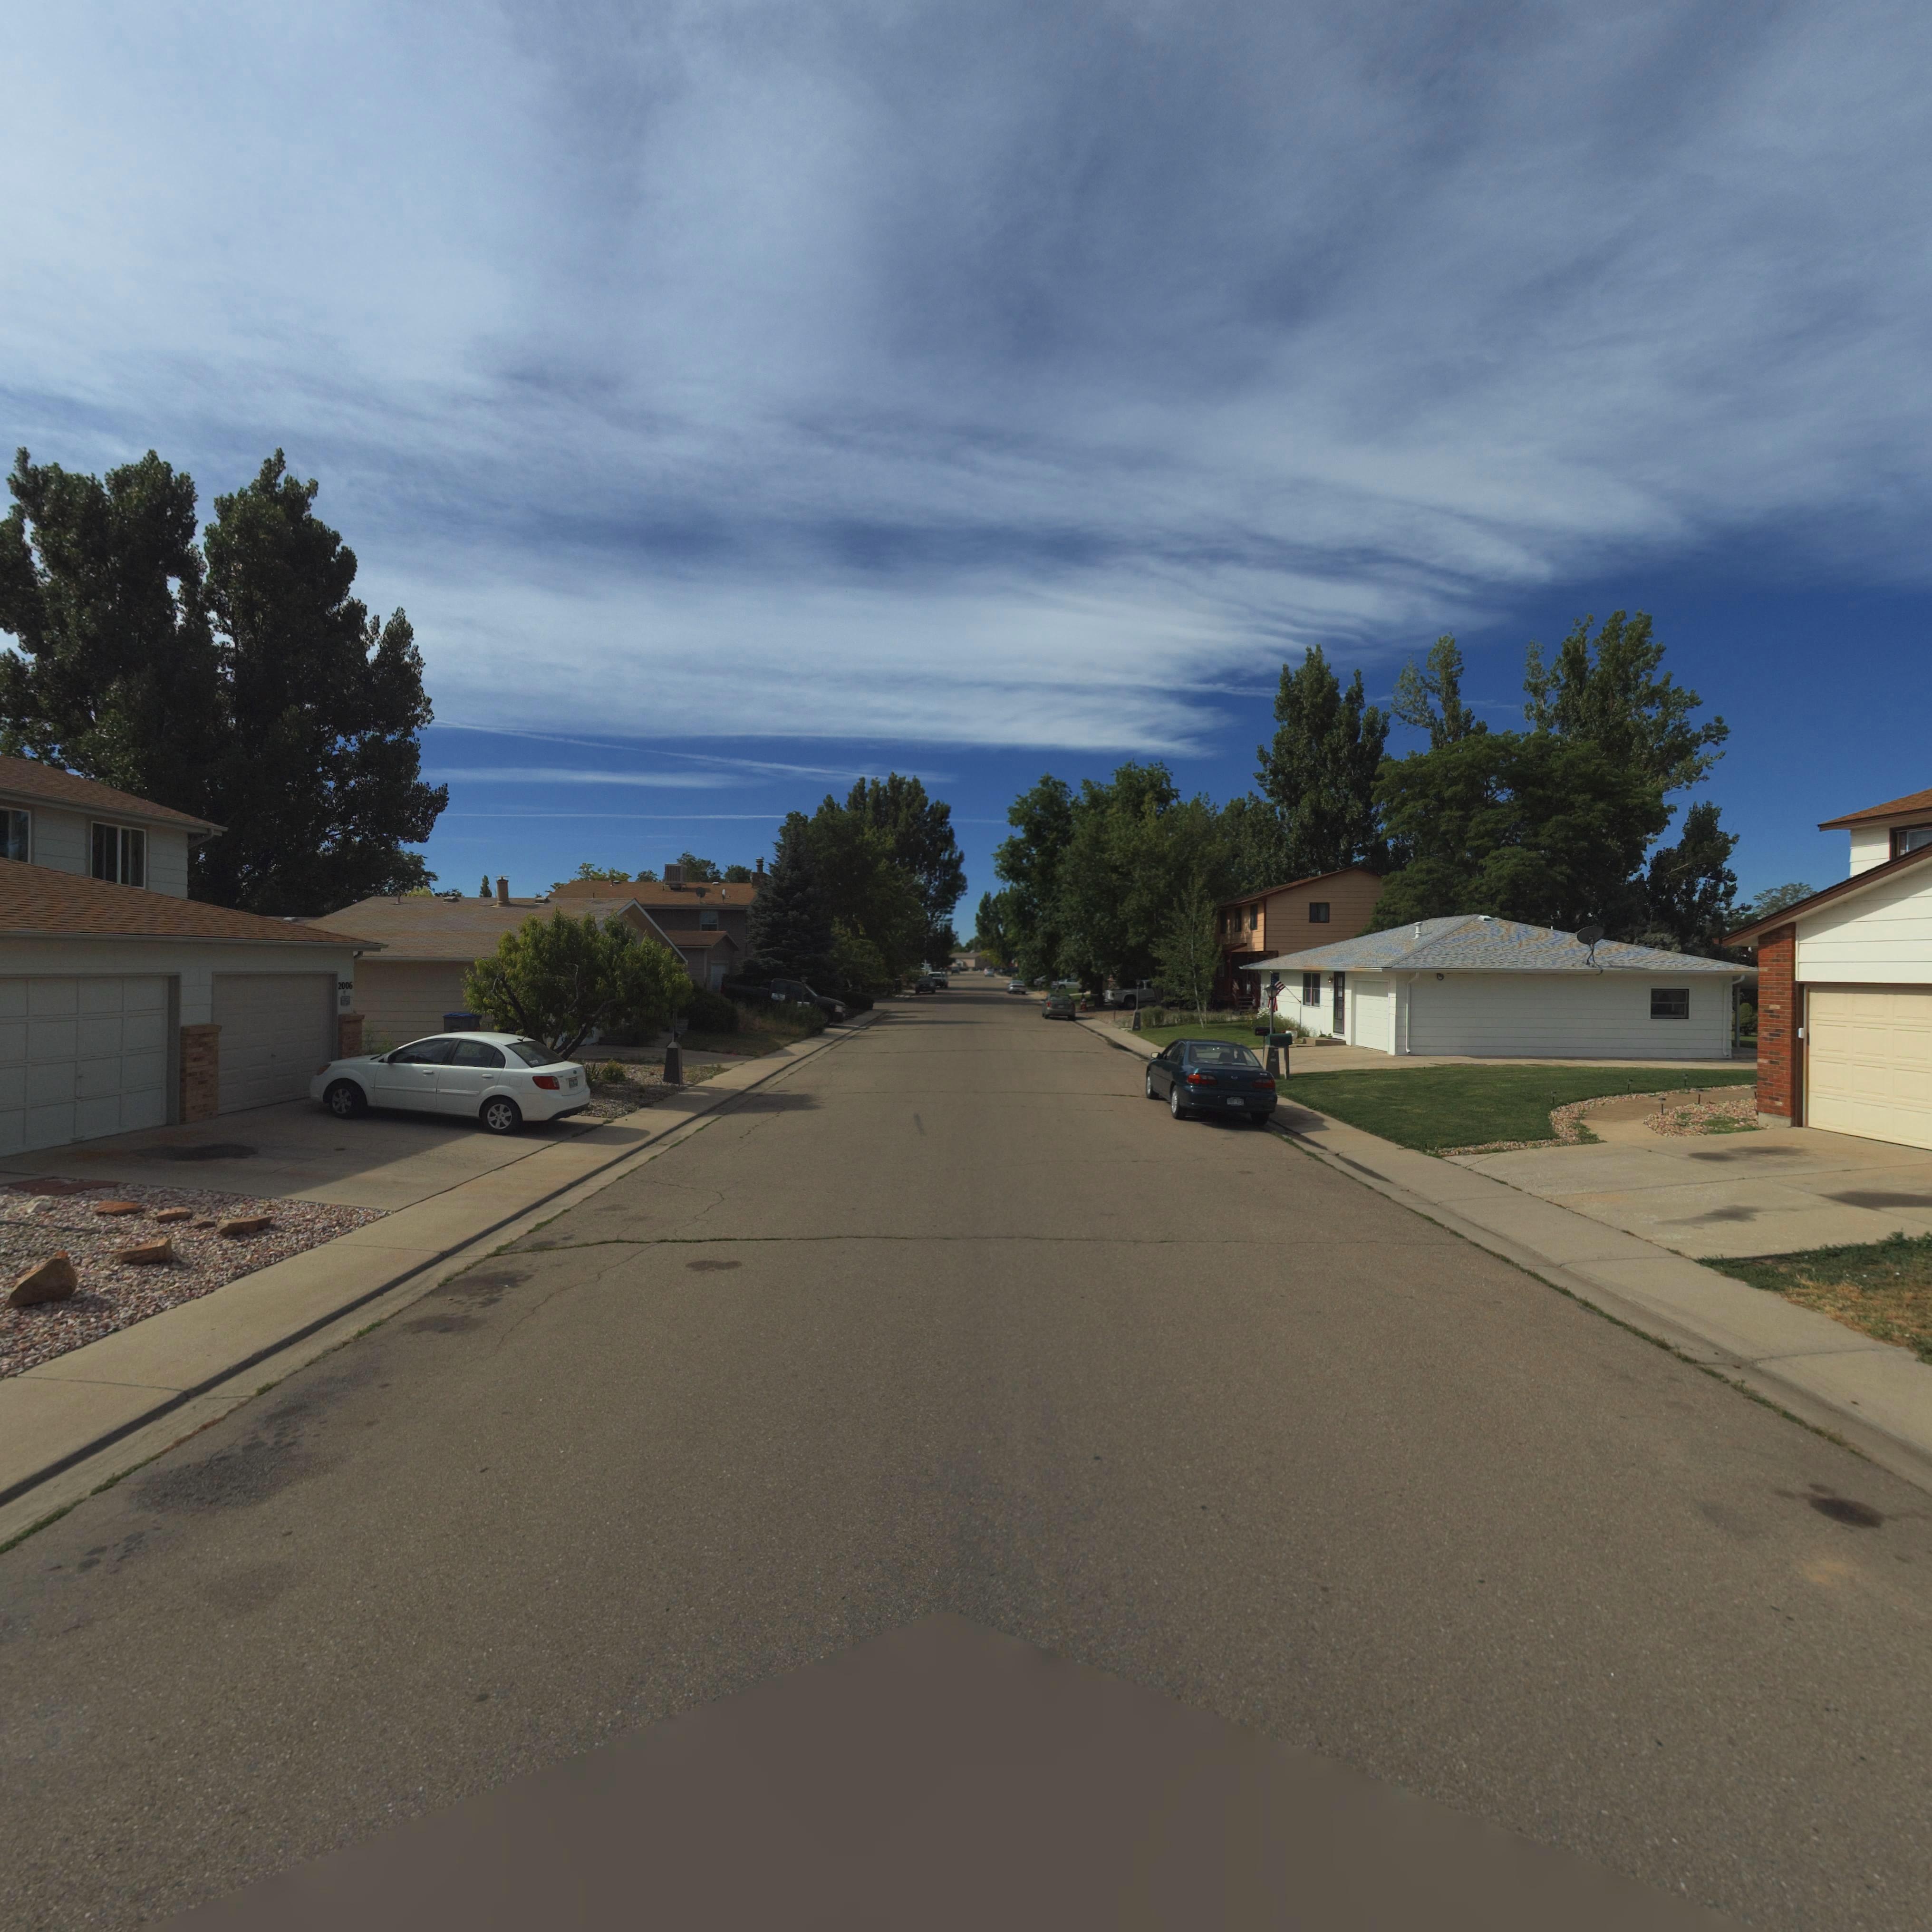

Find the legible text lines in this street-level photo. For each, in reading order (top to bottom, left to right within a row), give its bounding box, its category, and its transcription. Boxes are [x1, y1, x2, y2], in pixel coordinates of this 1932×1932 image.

[337, 981, 353, 990] StreetNumber: 2006